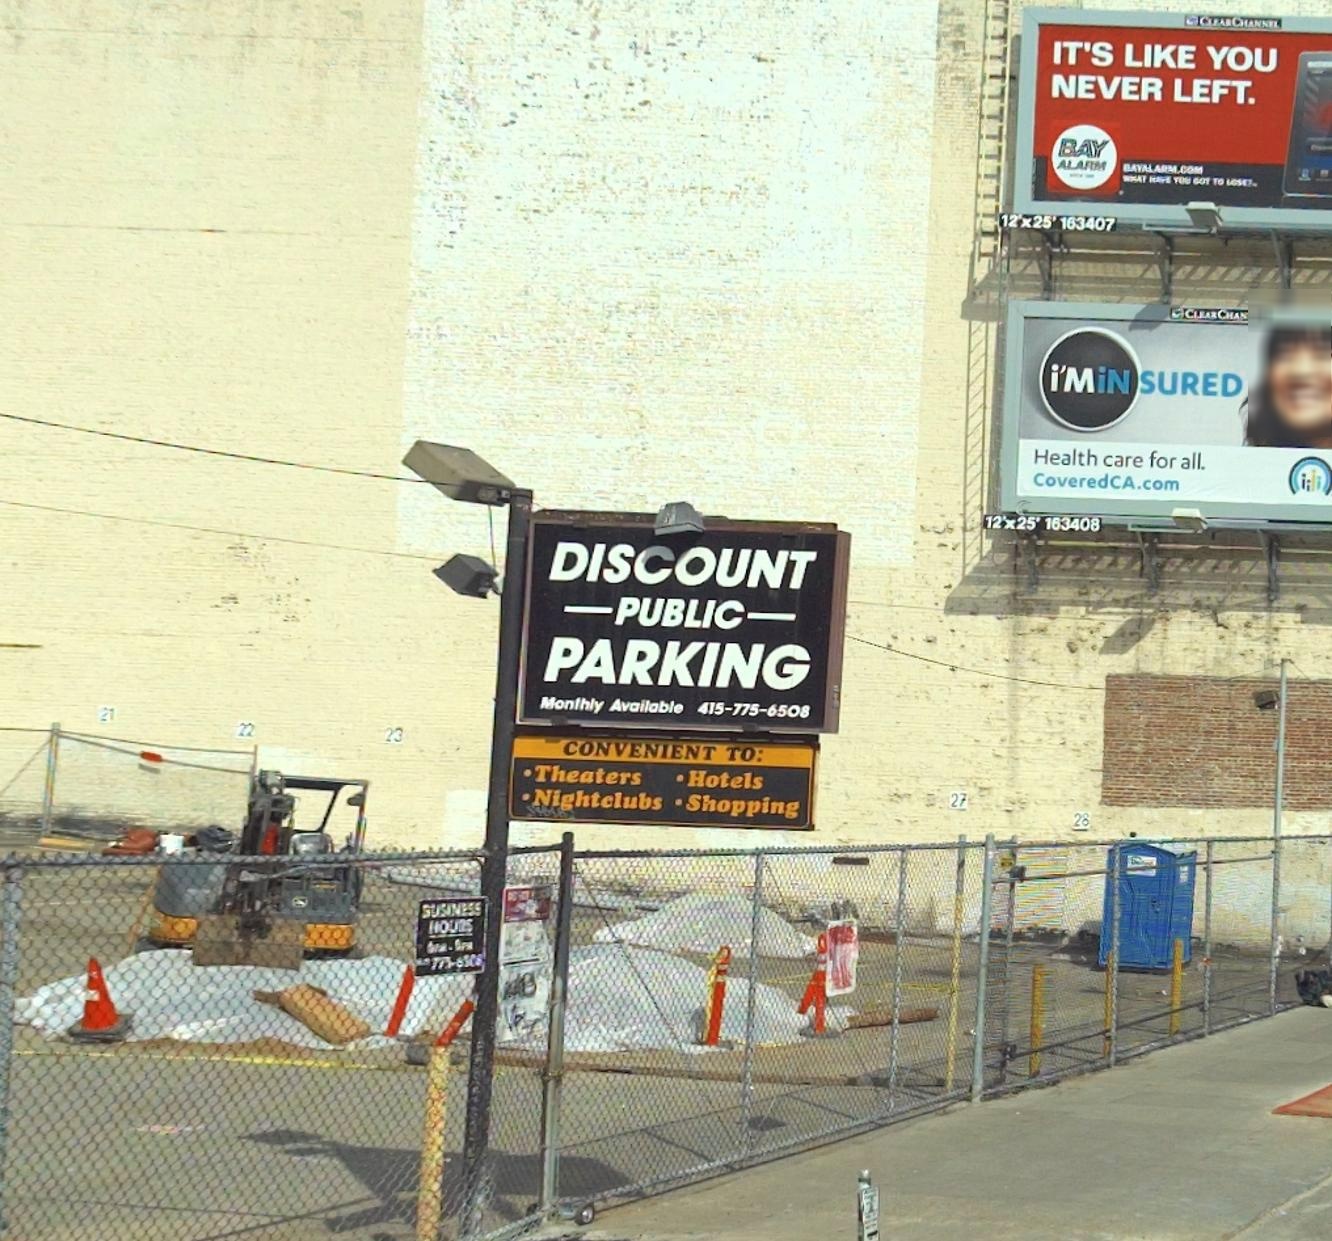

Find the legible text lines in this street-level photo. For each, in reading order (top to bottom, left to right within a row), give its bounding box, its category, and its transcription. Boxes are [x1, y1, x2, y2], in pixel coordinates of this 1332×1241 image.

[544, 538, 822, 593] BusinessName: DISCOUNT
[610, 593, 749, 632] None: PUBLIC
[537, 630, 816, 694] None: PARKING
[536, 691, 690, 720] None: Monthly Available
[692, 696, 813, 721] None: 415-775-6508
[559, 738, 758, 765] None: CONVENIENT TO
[532, 762, 645, 788] None: Theaters
[684, 767, 765, 792] None: Hotels
[531, 787, 665, 815] None: Nightclubs
[684, 792, 803, 821] None: Shopping